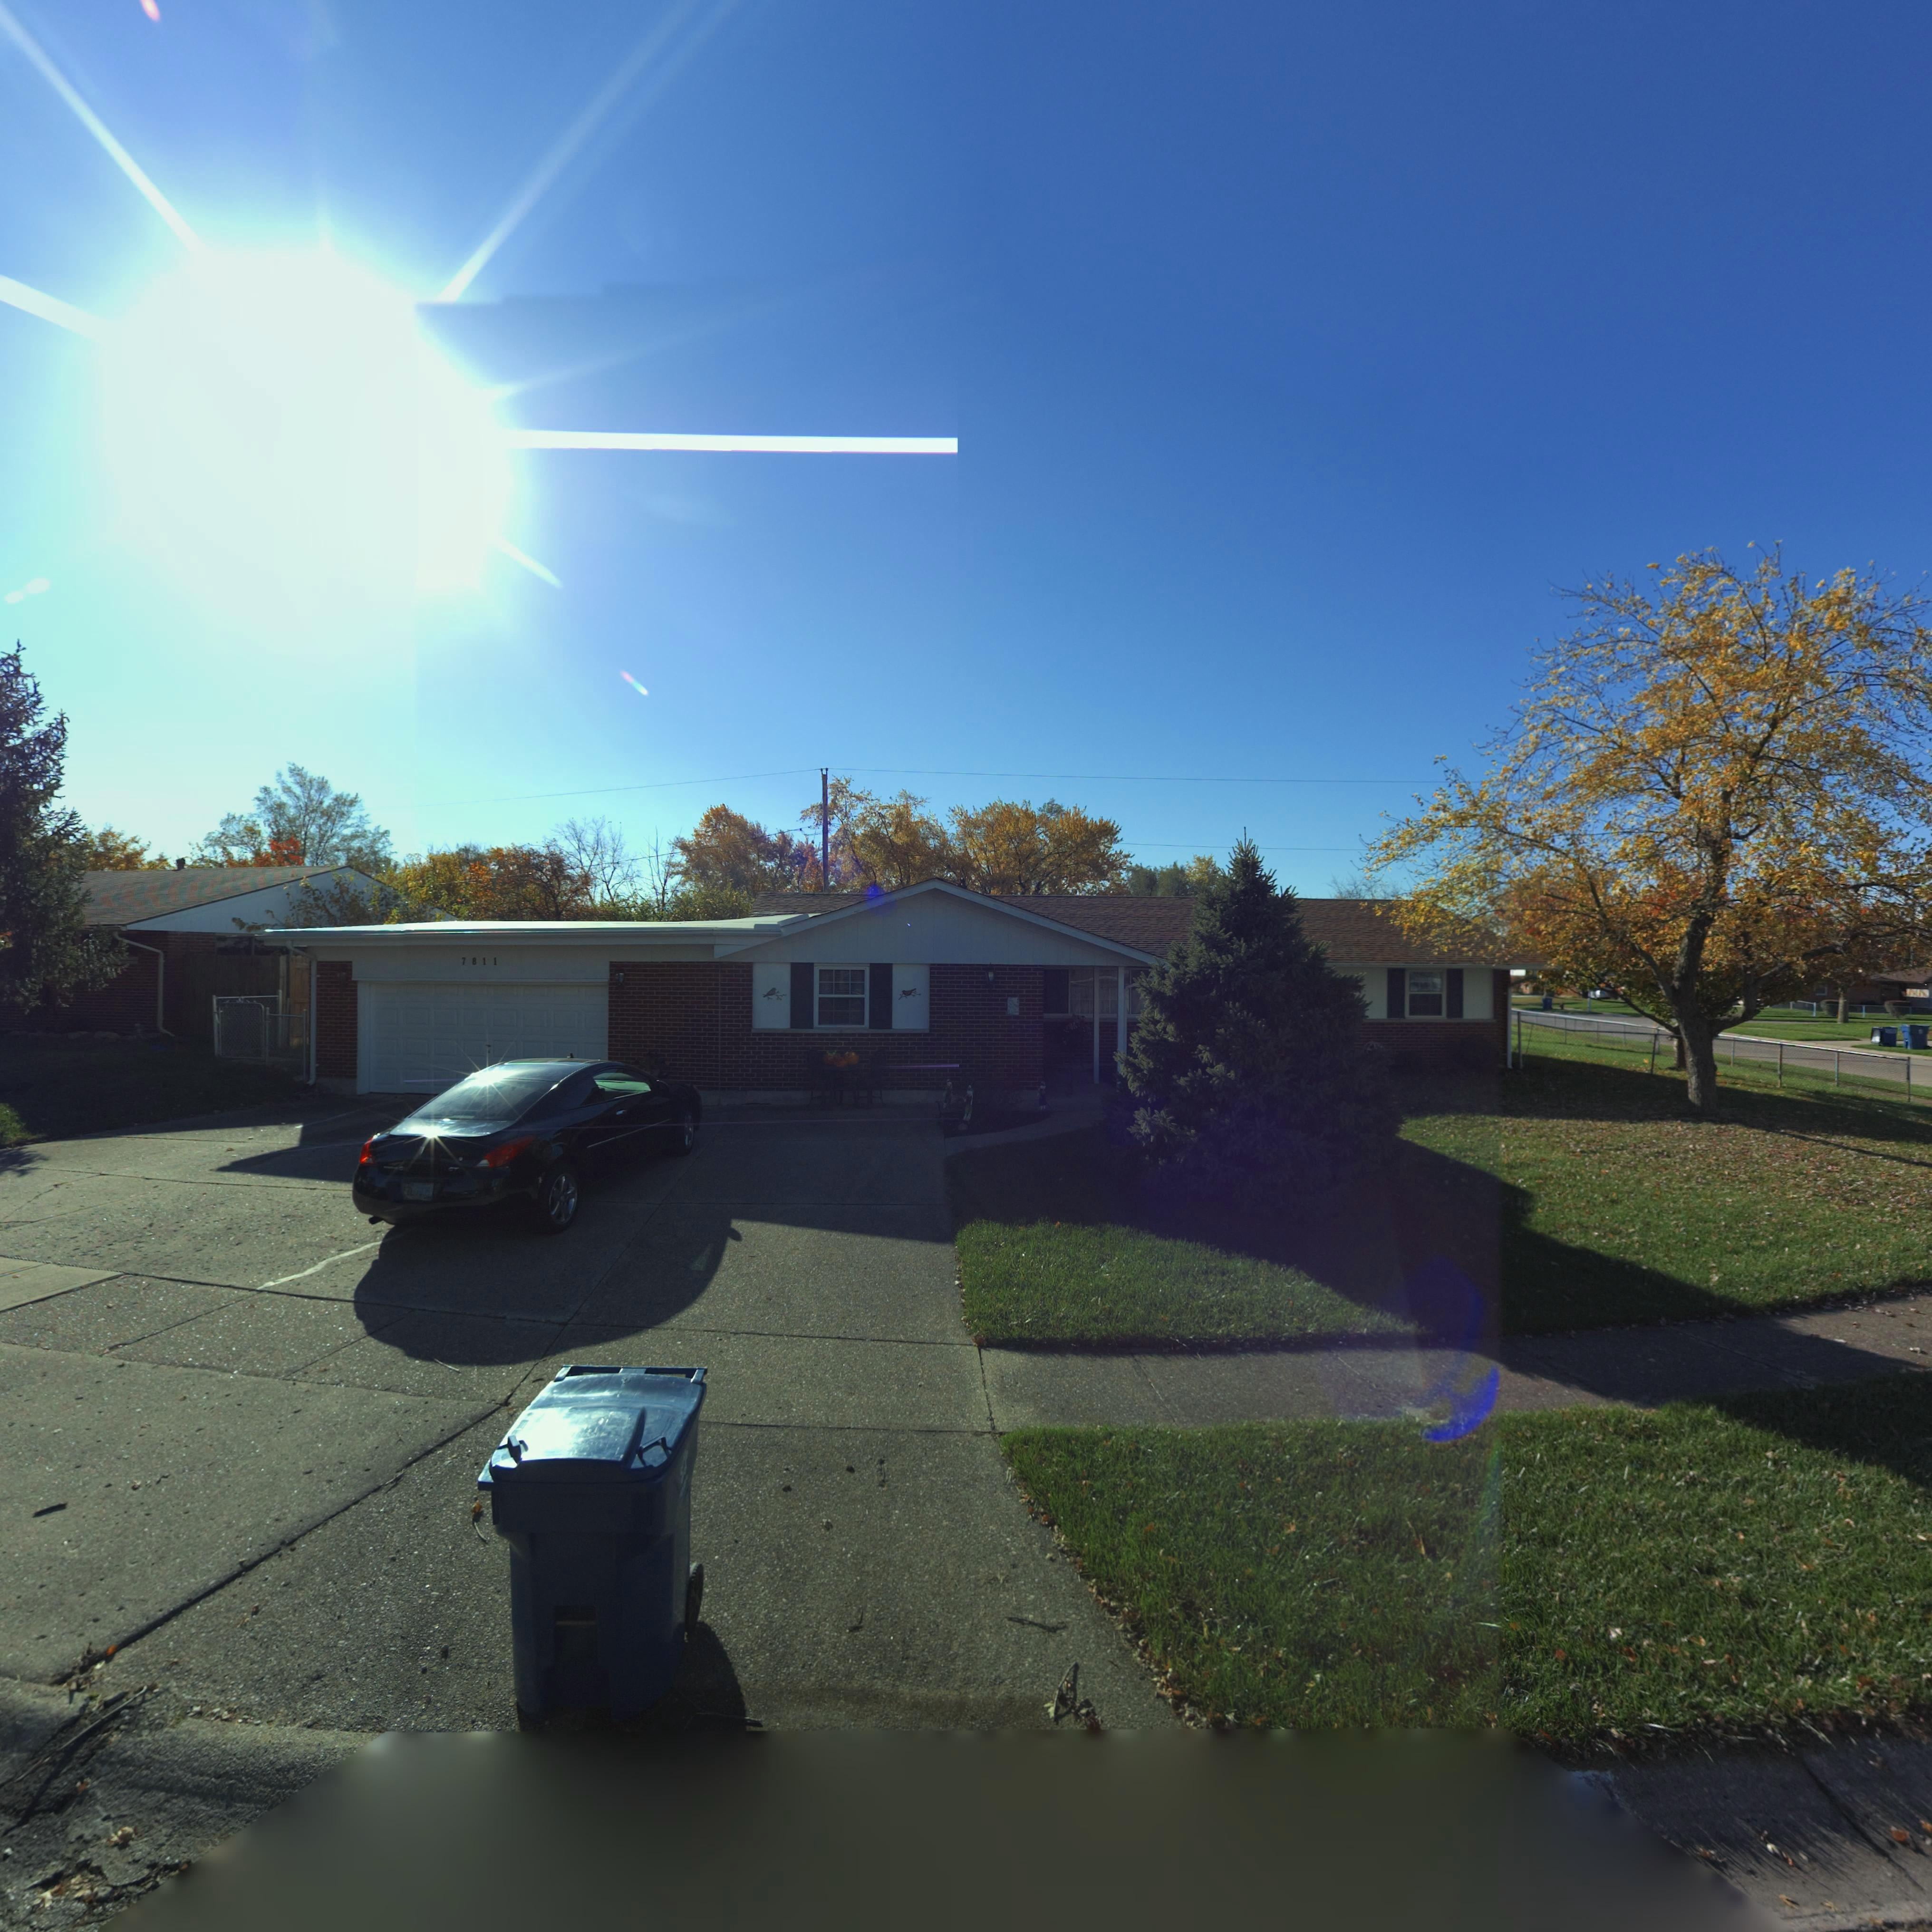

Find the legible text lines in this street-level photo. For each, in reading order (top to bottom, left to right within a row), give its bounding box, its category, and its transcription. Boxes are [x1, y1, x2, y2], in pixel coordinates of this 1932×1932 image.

[461, 956, 498, 966] StreetNumber: 7811